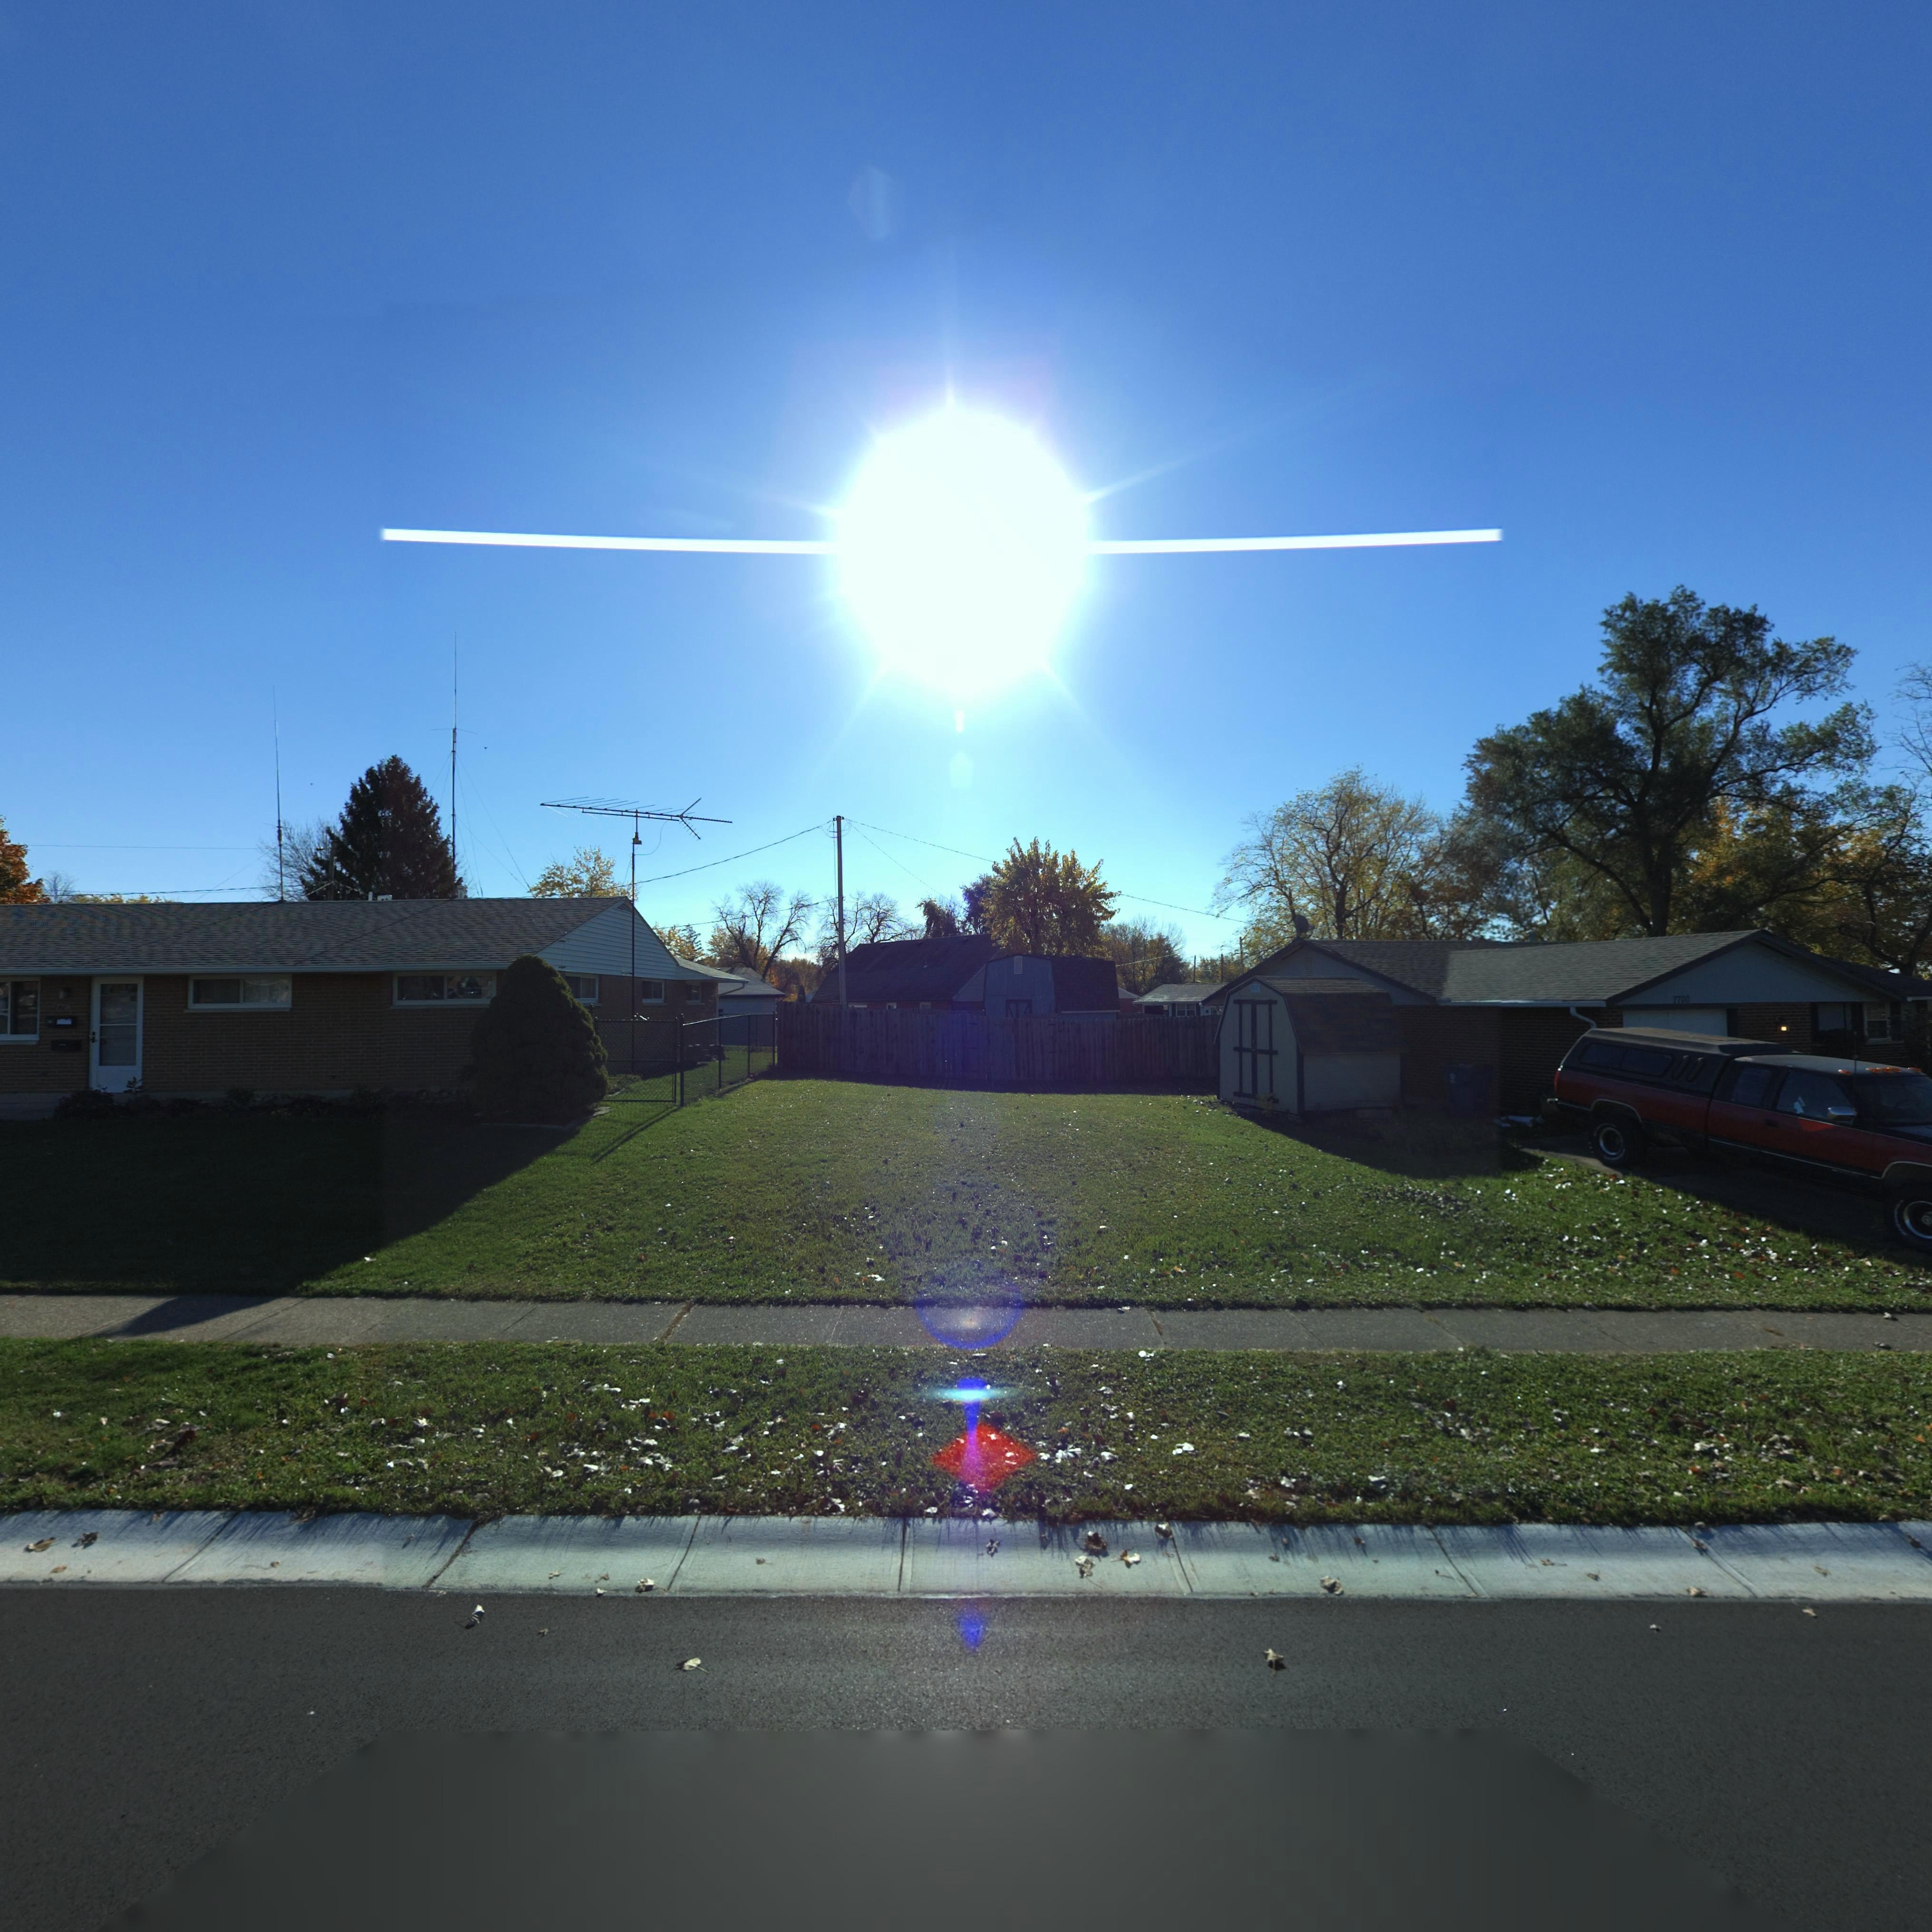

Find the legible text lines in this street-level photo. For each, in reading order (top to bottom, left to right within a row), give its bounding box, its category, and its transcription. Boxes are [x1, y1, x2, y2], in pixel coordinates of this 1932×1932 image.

[1671, 994, 1691, 1005] StreetNumber: 7700